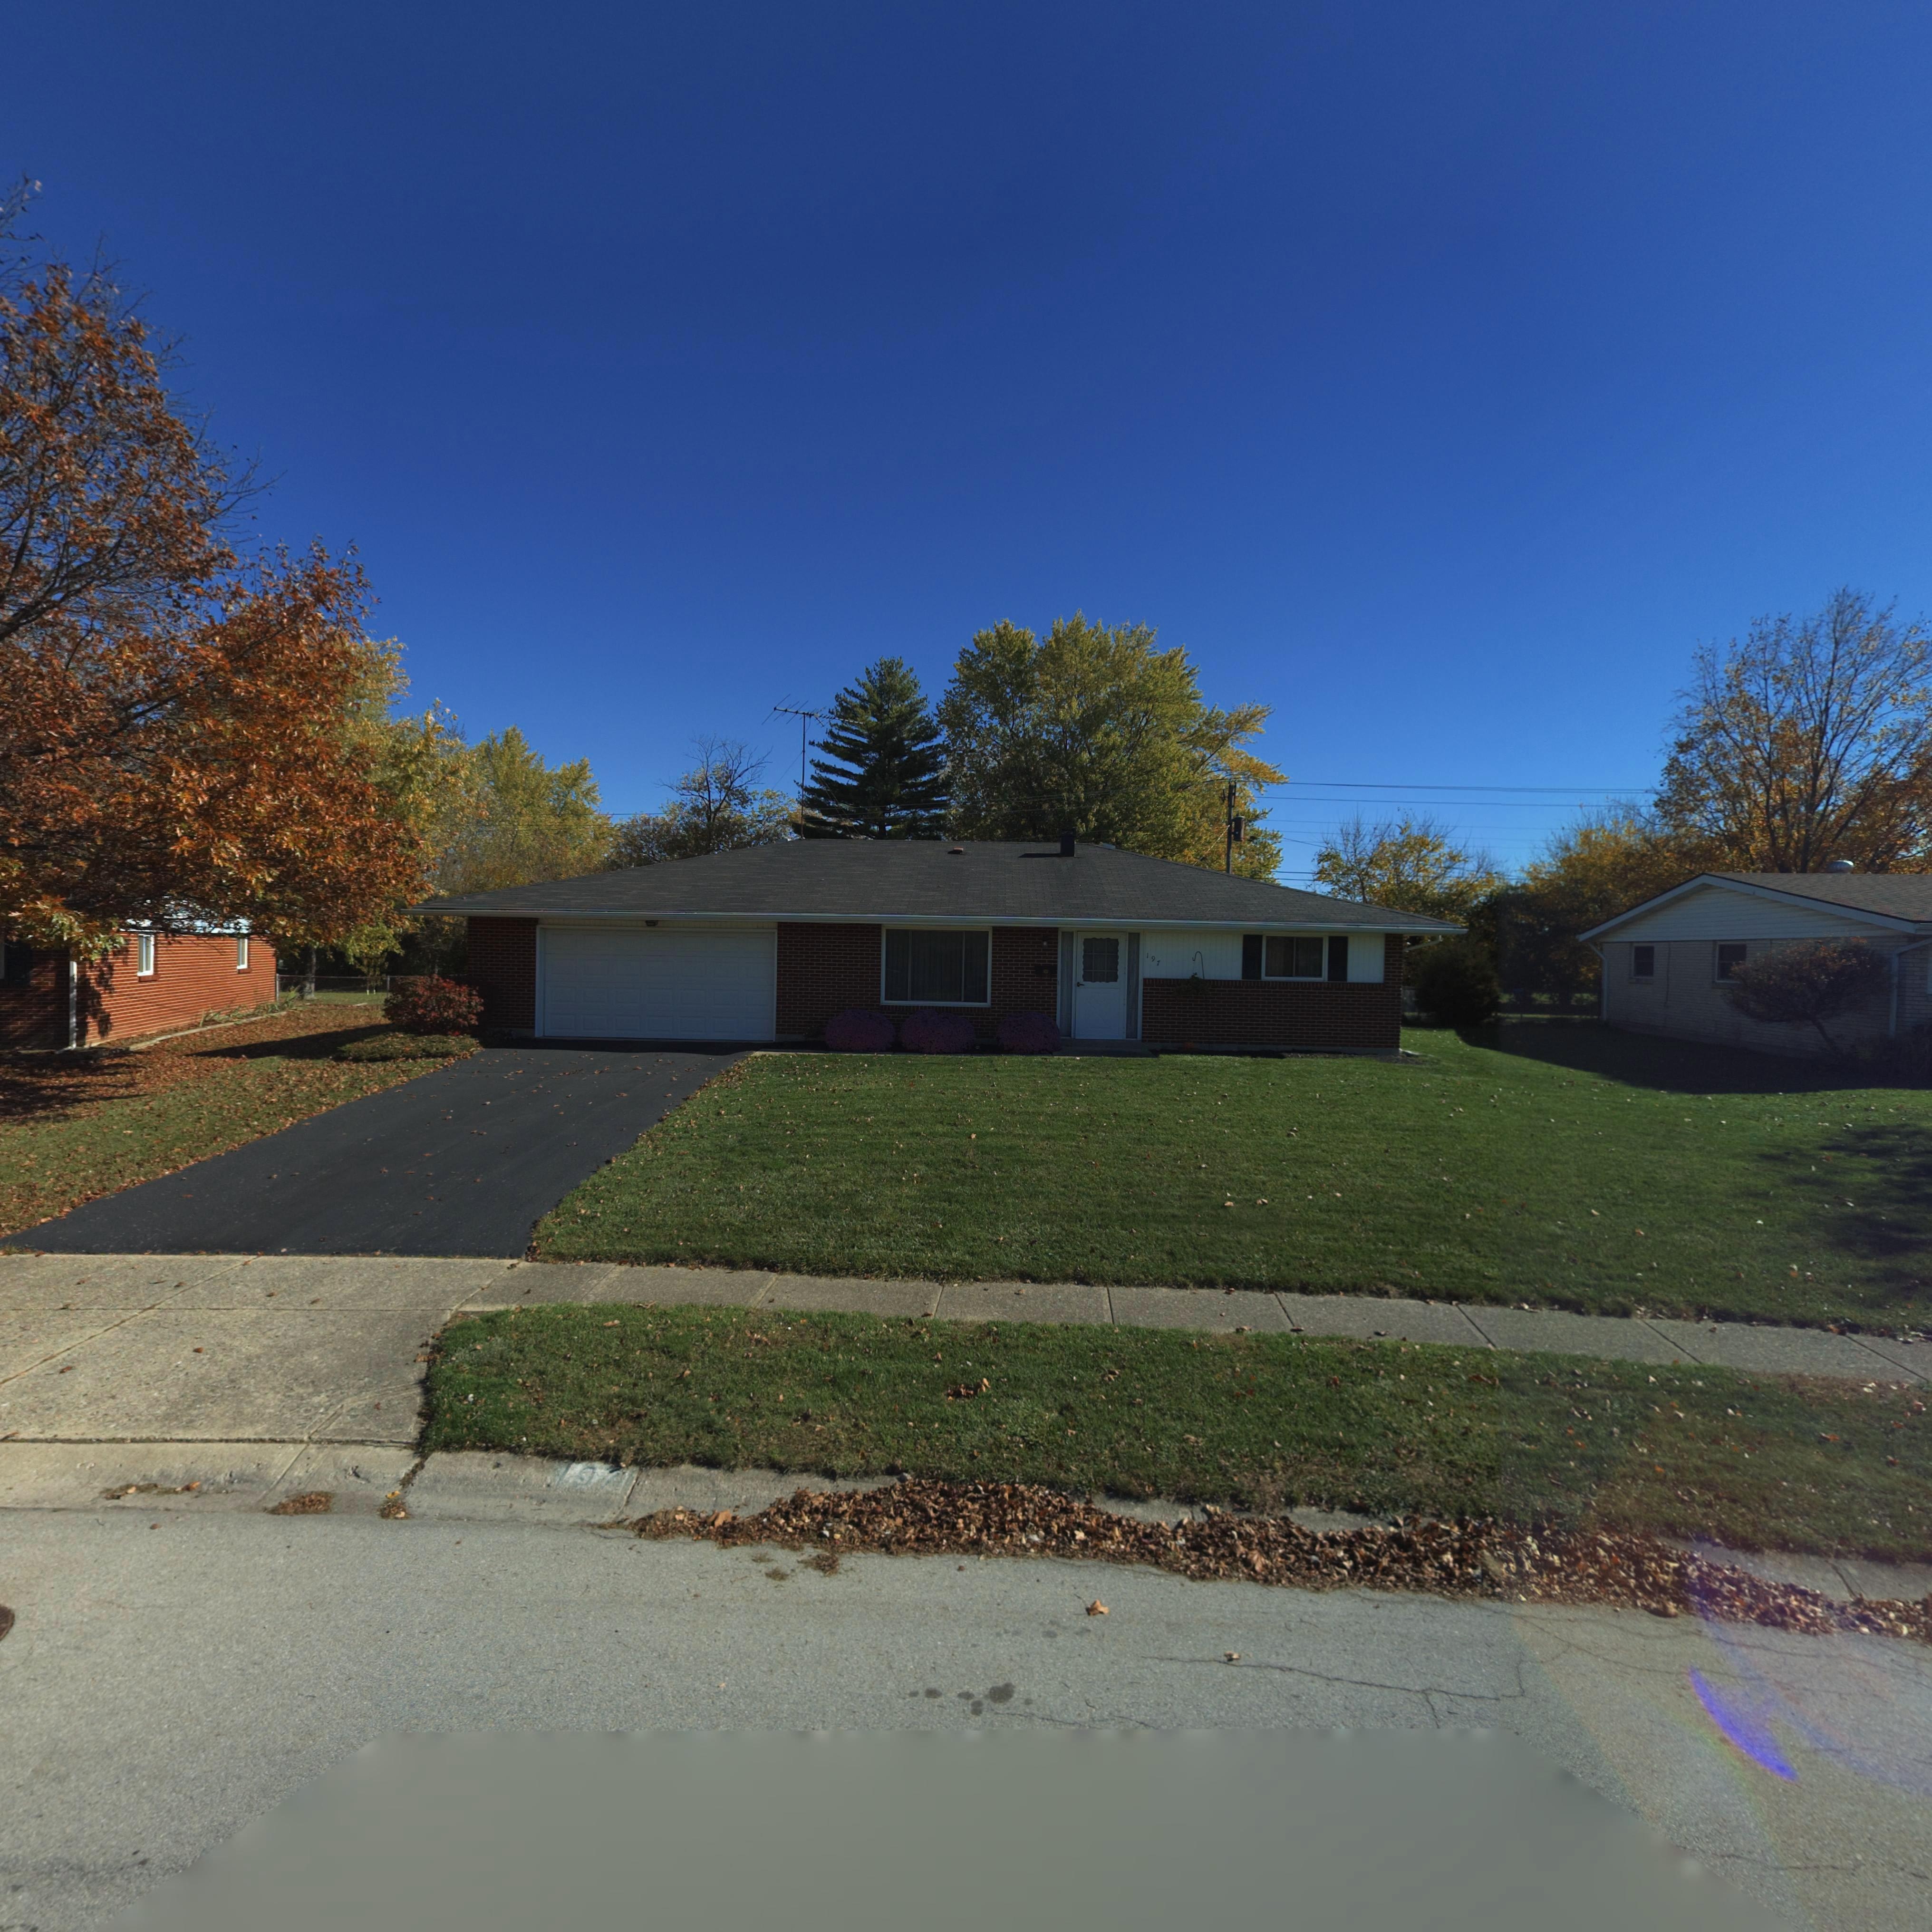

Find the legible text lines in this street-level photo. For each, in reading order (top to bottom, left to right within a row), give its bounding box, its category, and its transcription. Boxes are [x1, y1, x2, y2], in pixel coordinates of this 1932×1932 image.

[1145, 952, 1161, 967] StreetNumber: 197
[553, 1457, 627, 1494] StreetNumber: 197